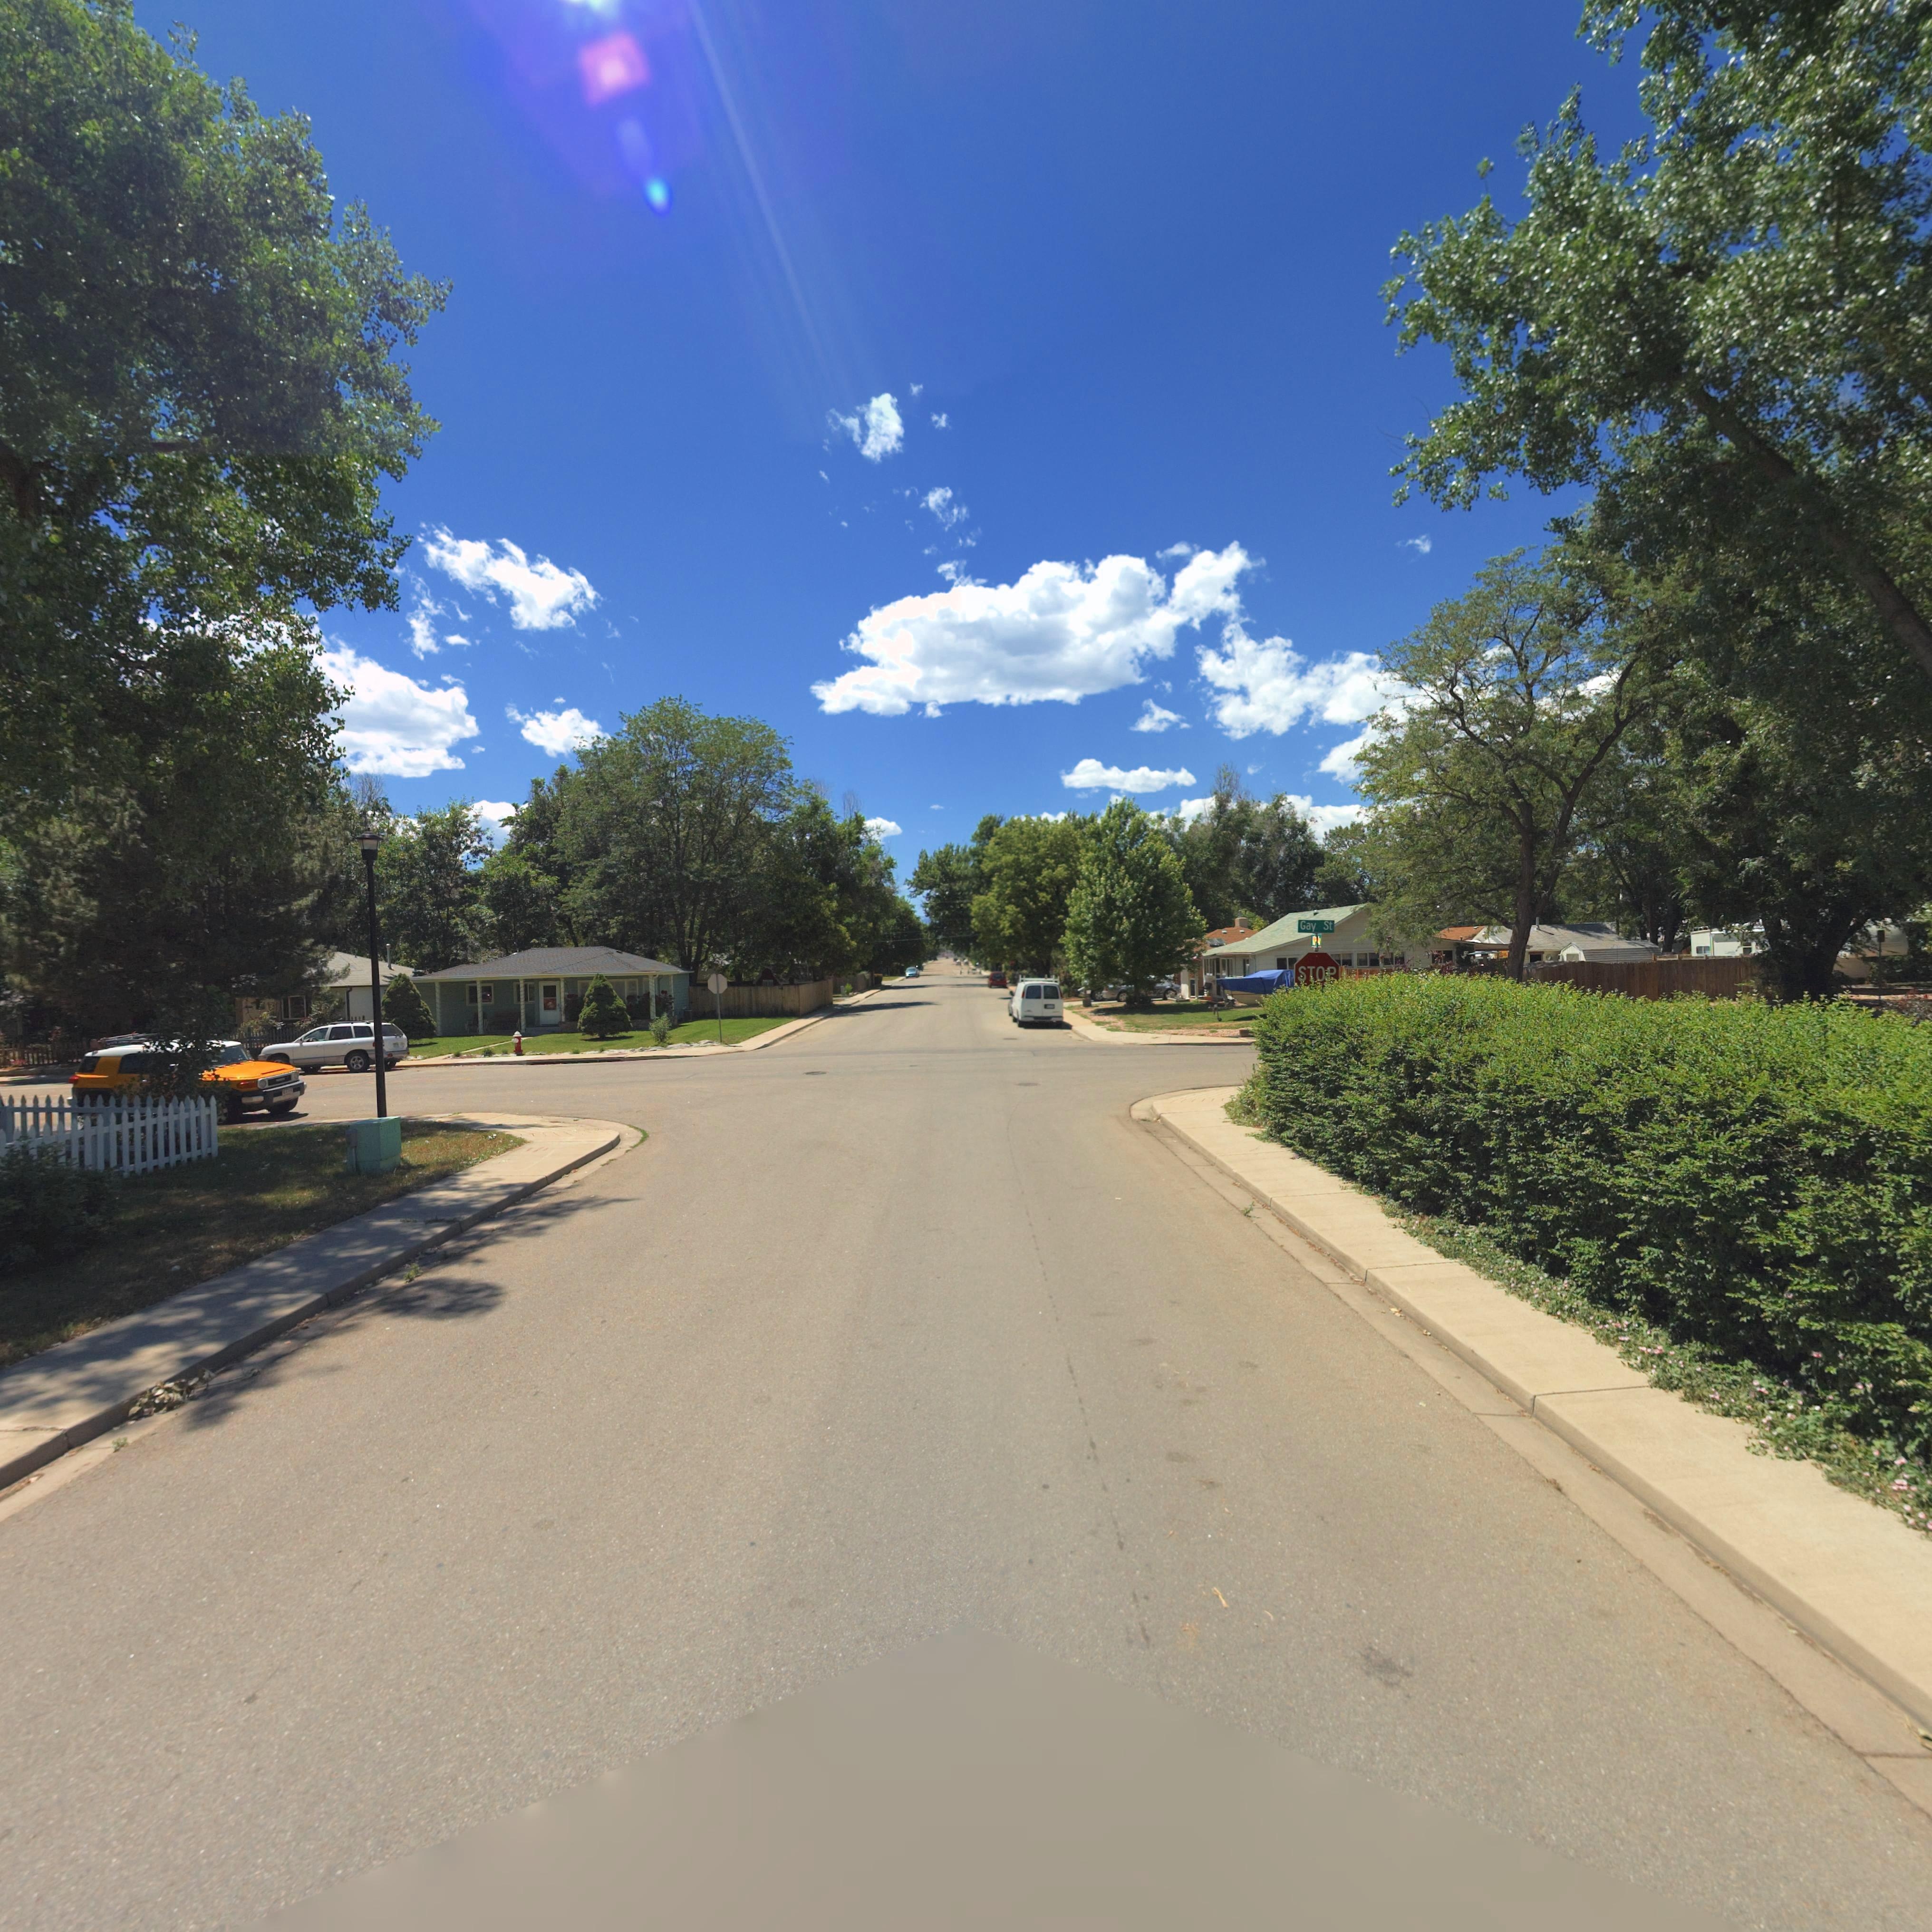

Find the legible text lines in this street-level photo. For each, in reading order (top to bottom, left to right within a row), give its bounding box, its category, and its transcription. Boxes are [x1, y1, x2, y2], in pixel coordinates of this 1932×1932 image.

[1300, 920, 1333, 932] StreetName: Gay St